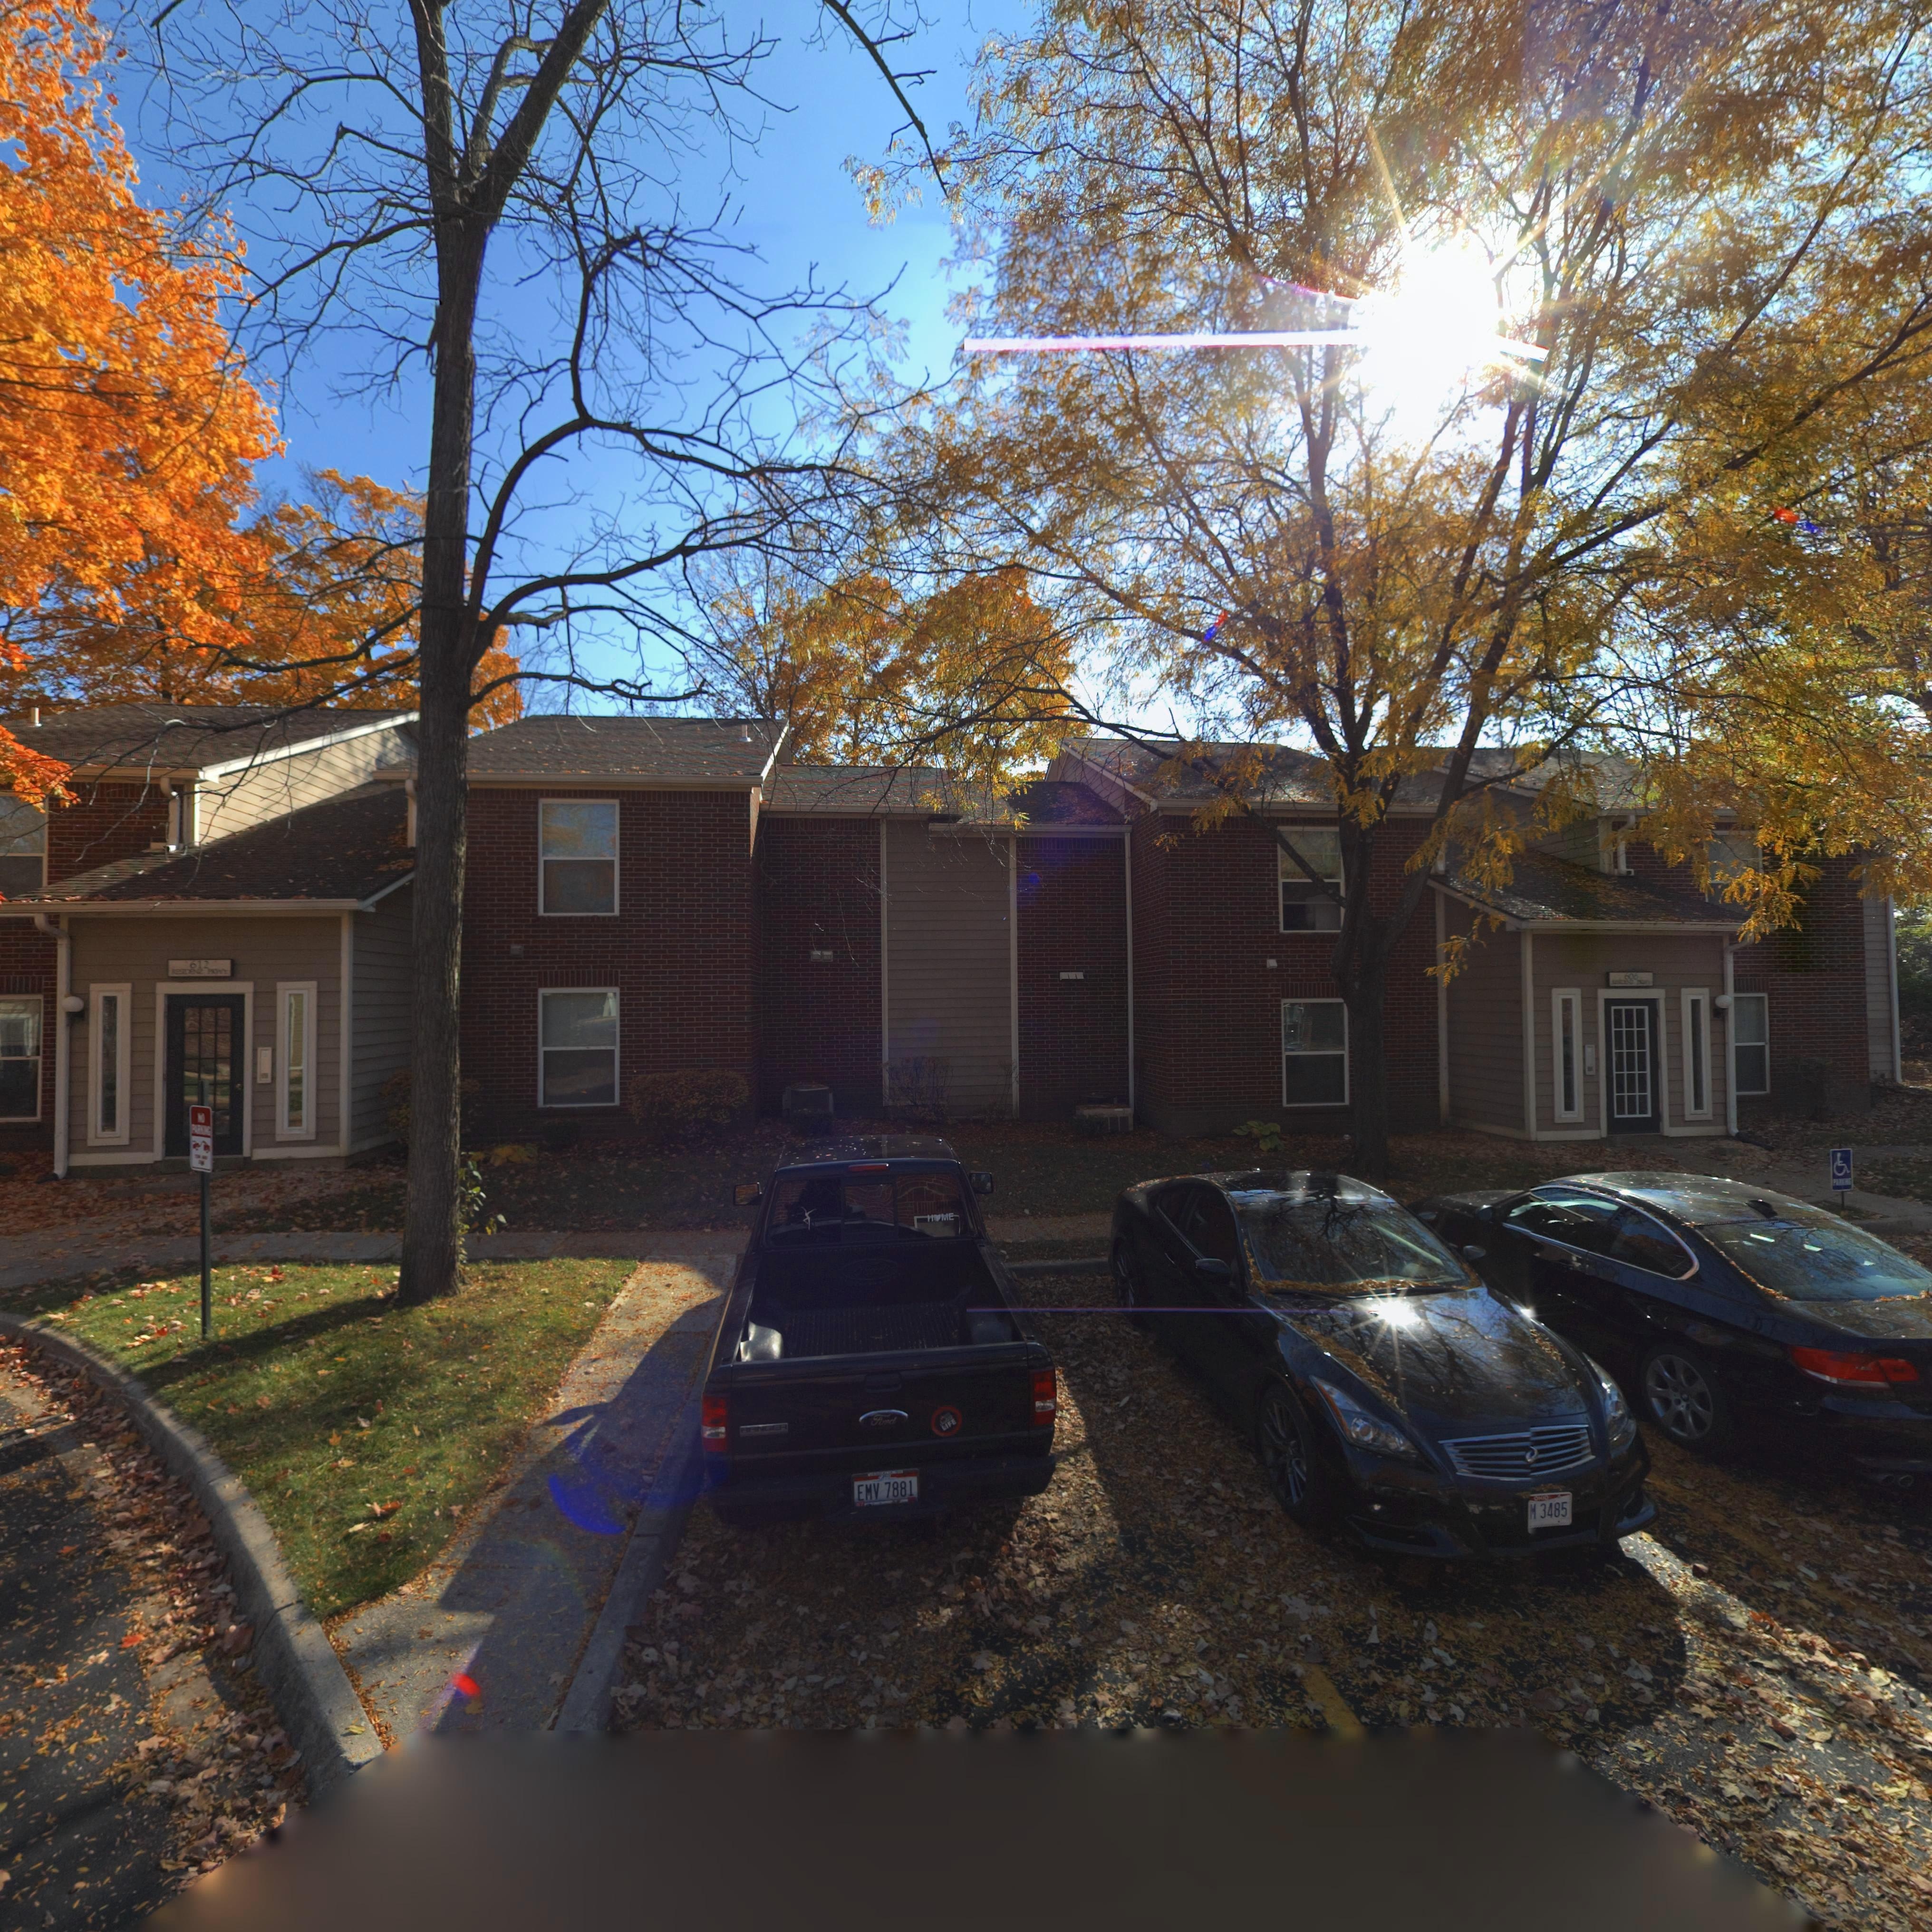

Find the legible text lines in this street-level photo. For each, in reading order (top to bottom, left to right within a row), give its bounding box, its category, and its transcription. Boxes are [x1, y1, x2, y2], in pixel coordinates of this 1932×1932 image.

[189, 959, 210, 969] StreetNumber: 612
[1623, 972, 1640, 980] StreetNumber: 606
[857, 1478, 914, 1503] None: EMV 7881
[1533, 1494, 1549, 1503] None: OHIO
[1539, 1500, 1569, 1520] None: 3485